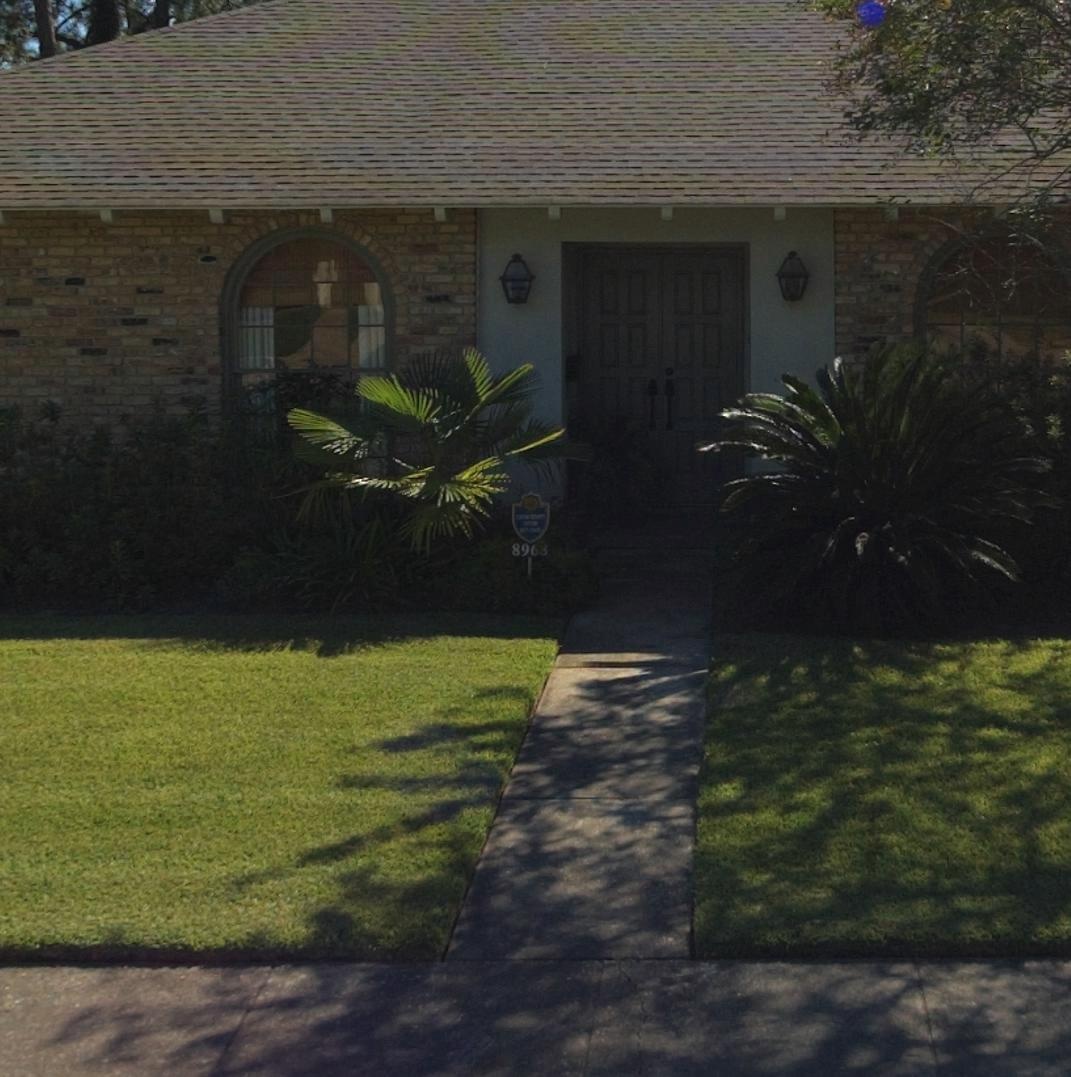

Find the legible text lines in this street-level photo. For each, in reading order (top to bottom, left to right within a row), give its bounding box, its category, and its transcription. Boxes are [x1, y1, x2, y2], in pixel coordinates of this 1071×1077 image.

[510, 539, 549, 560] StreetNumber: 896*